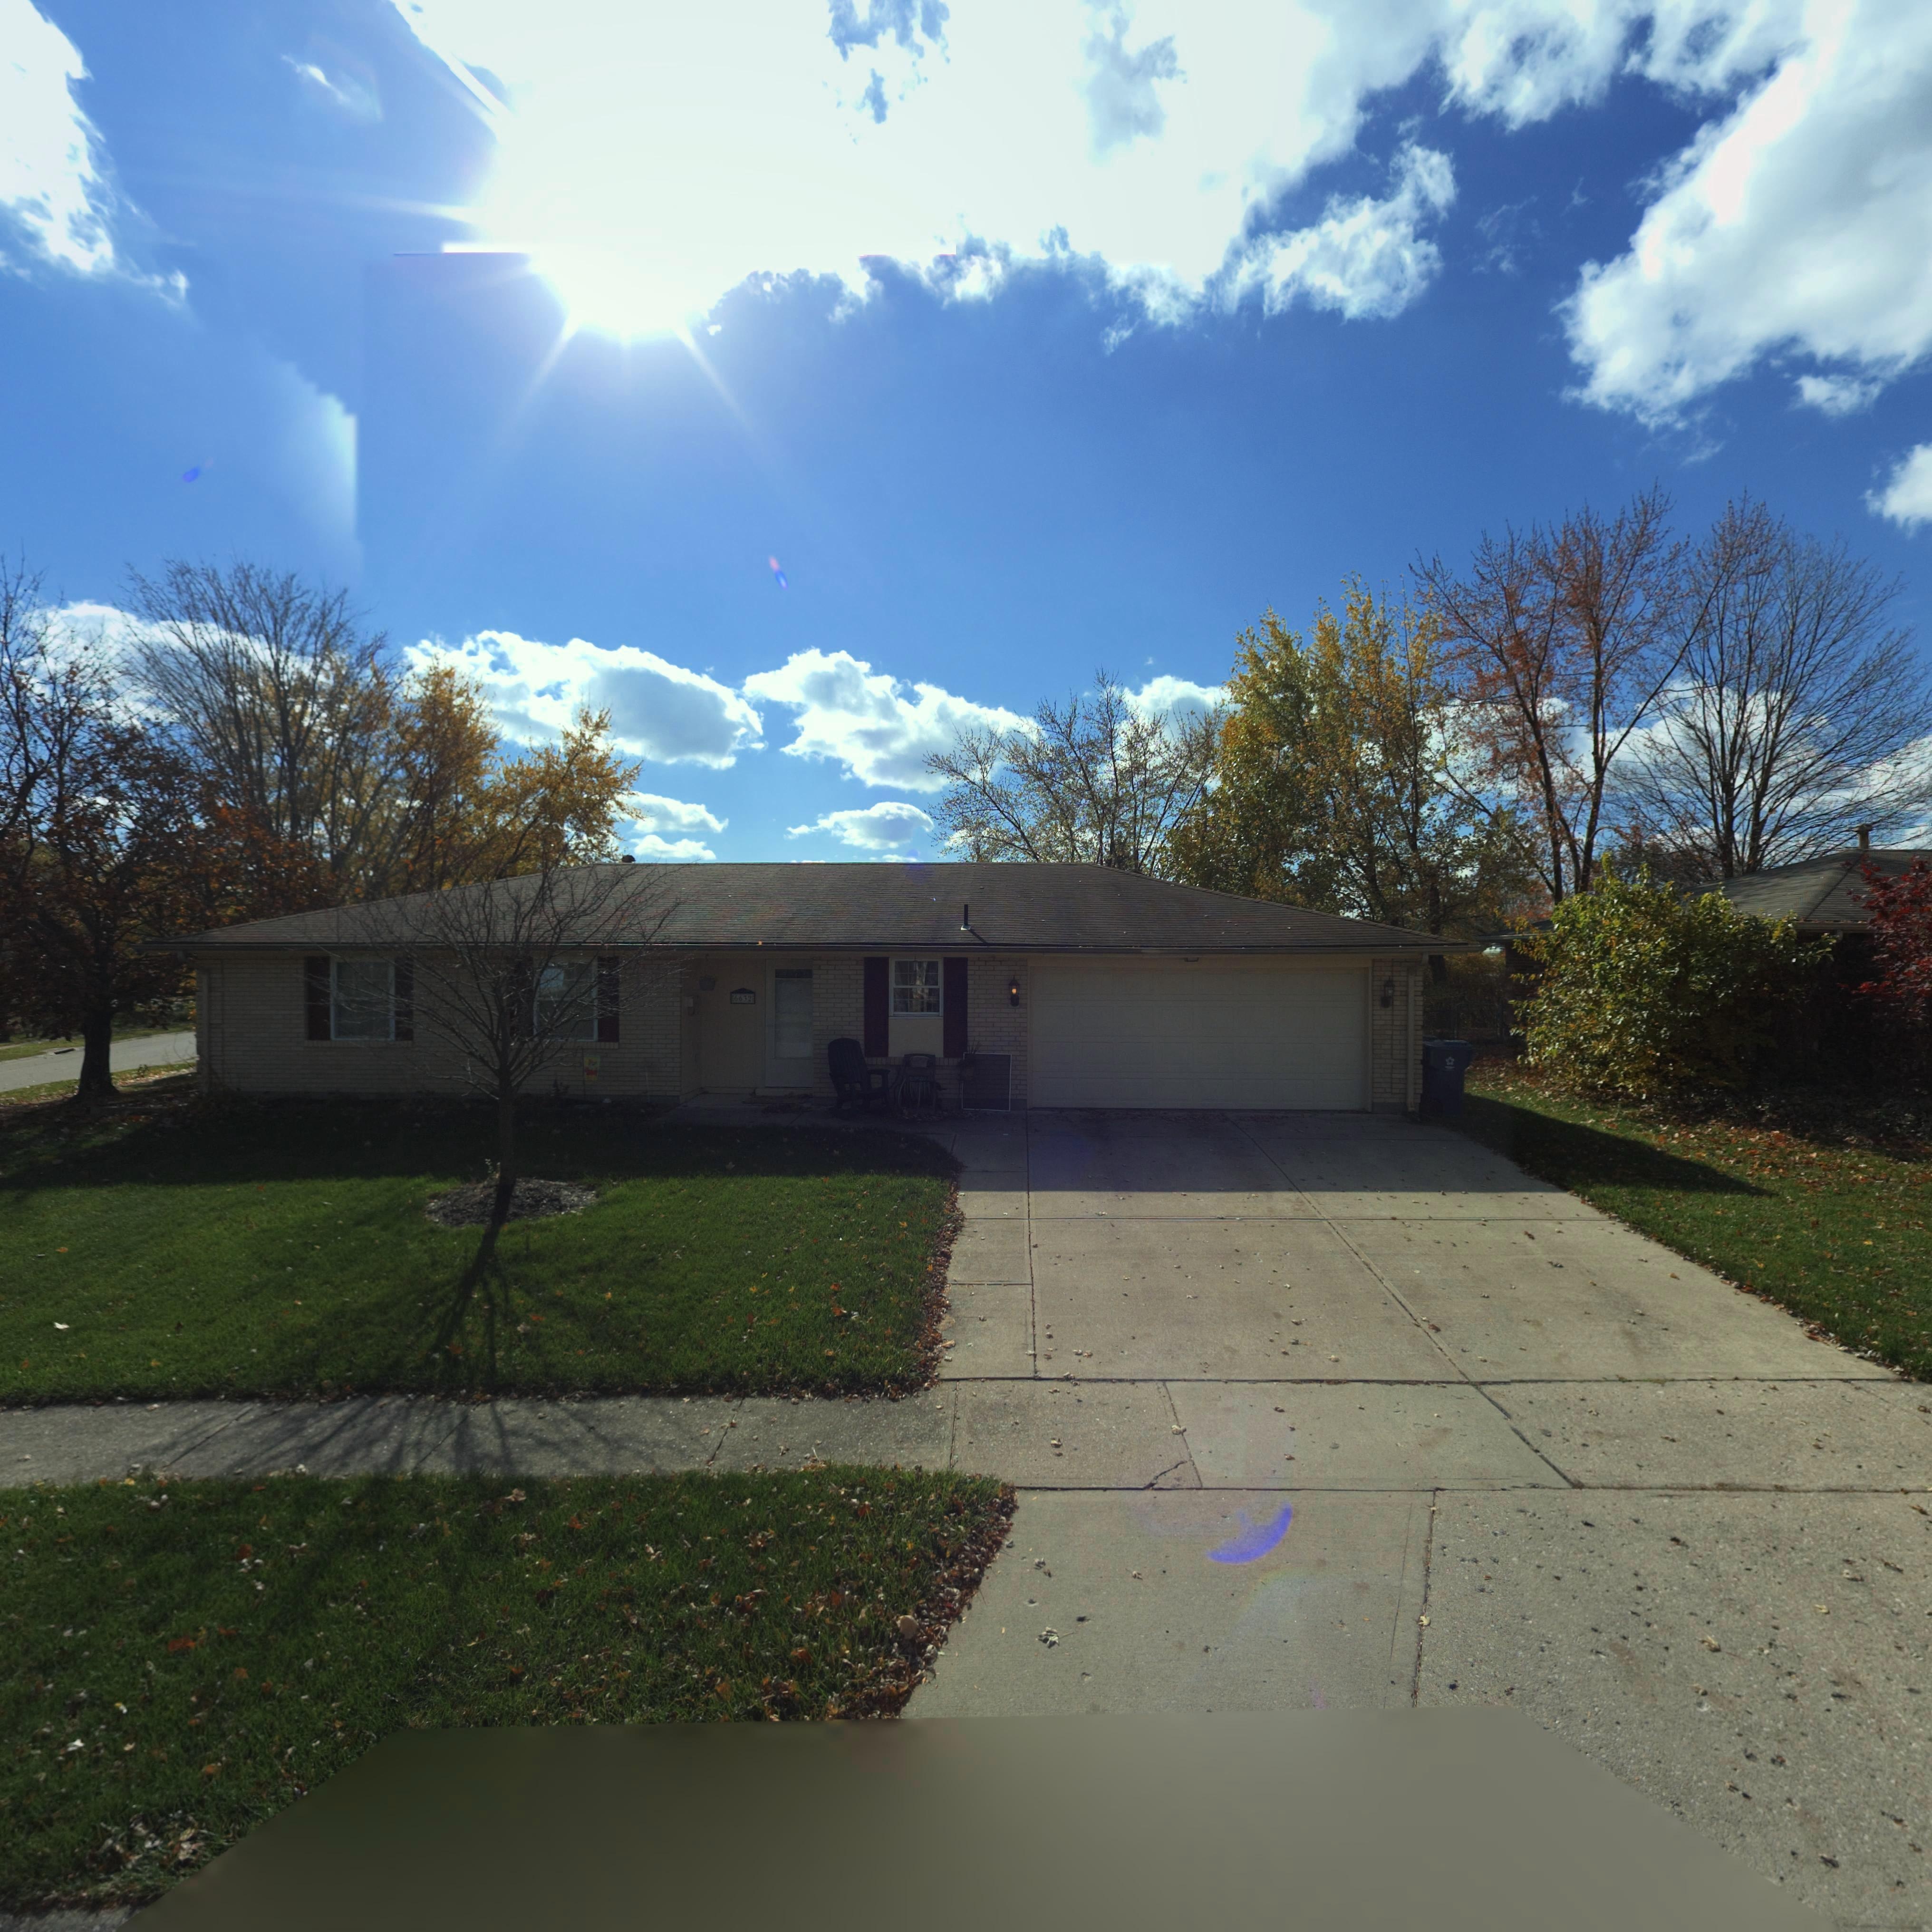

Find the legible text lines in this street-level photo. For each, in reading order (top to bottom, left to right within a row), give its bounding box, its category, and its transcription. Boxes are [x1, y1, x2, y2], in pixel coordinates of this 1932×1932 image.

[734, 994, 752, 1003] StreetNumber: 6632